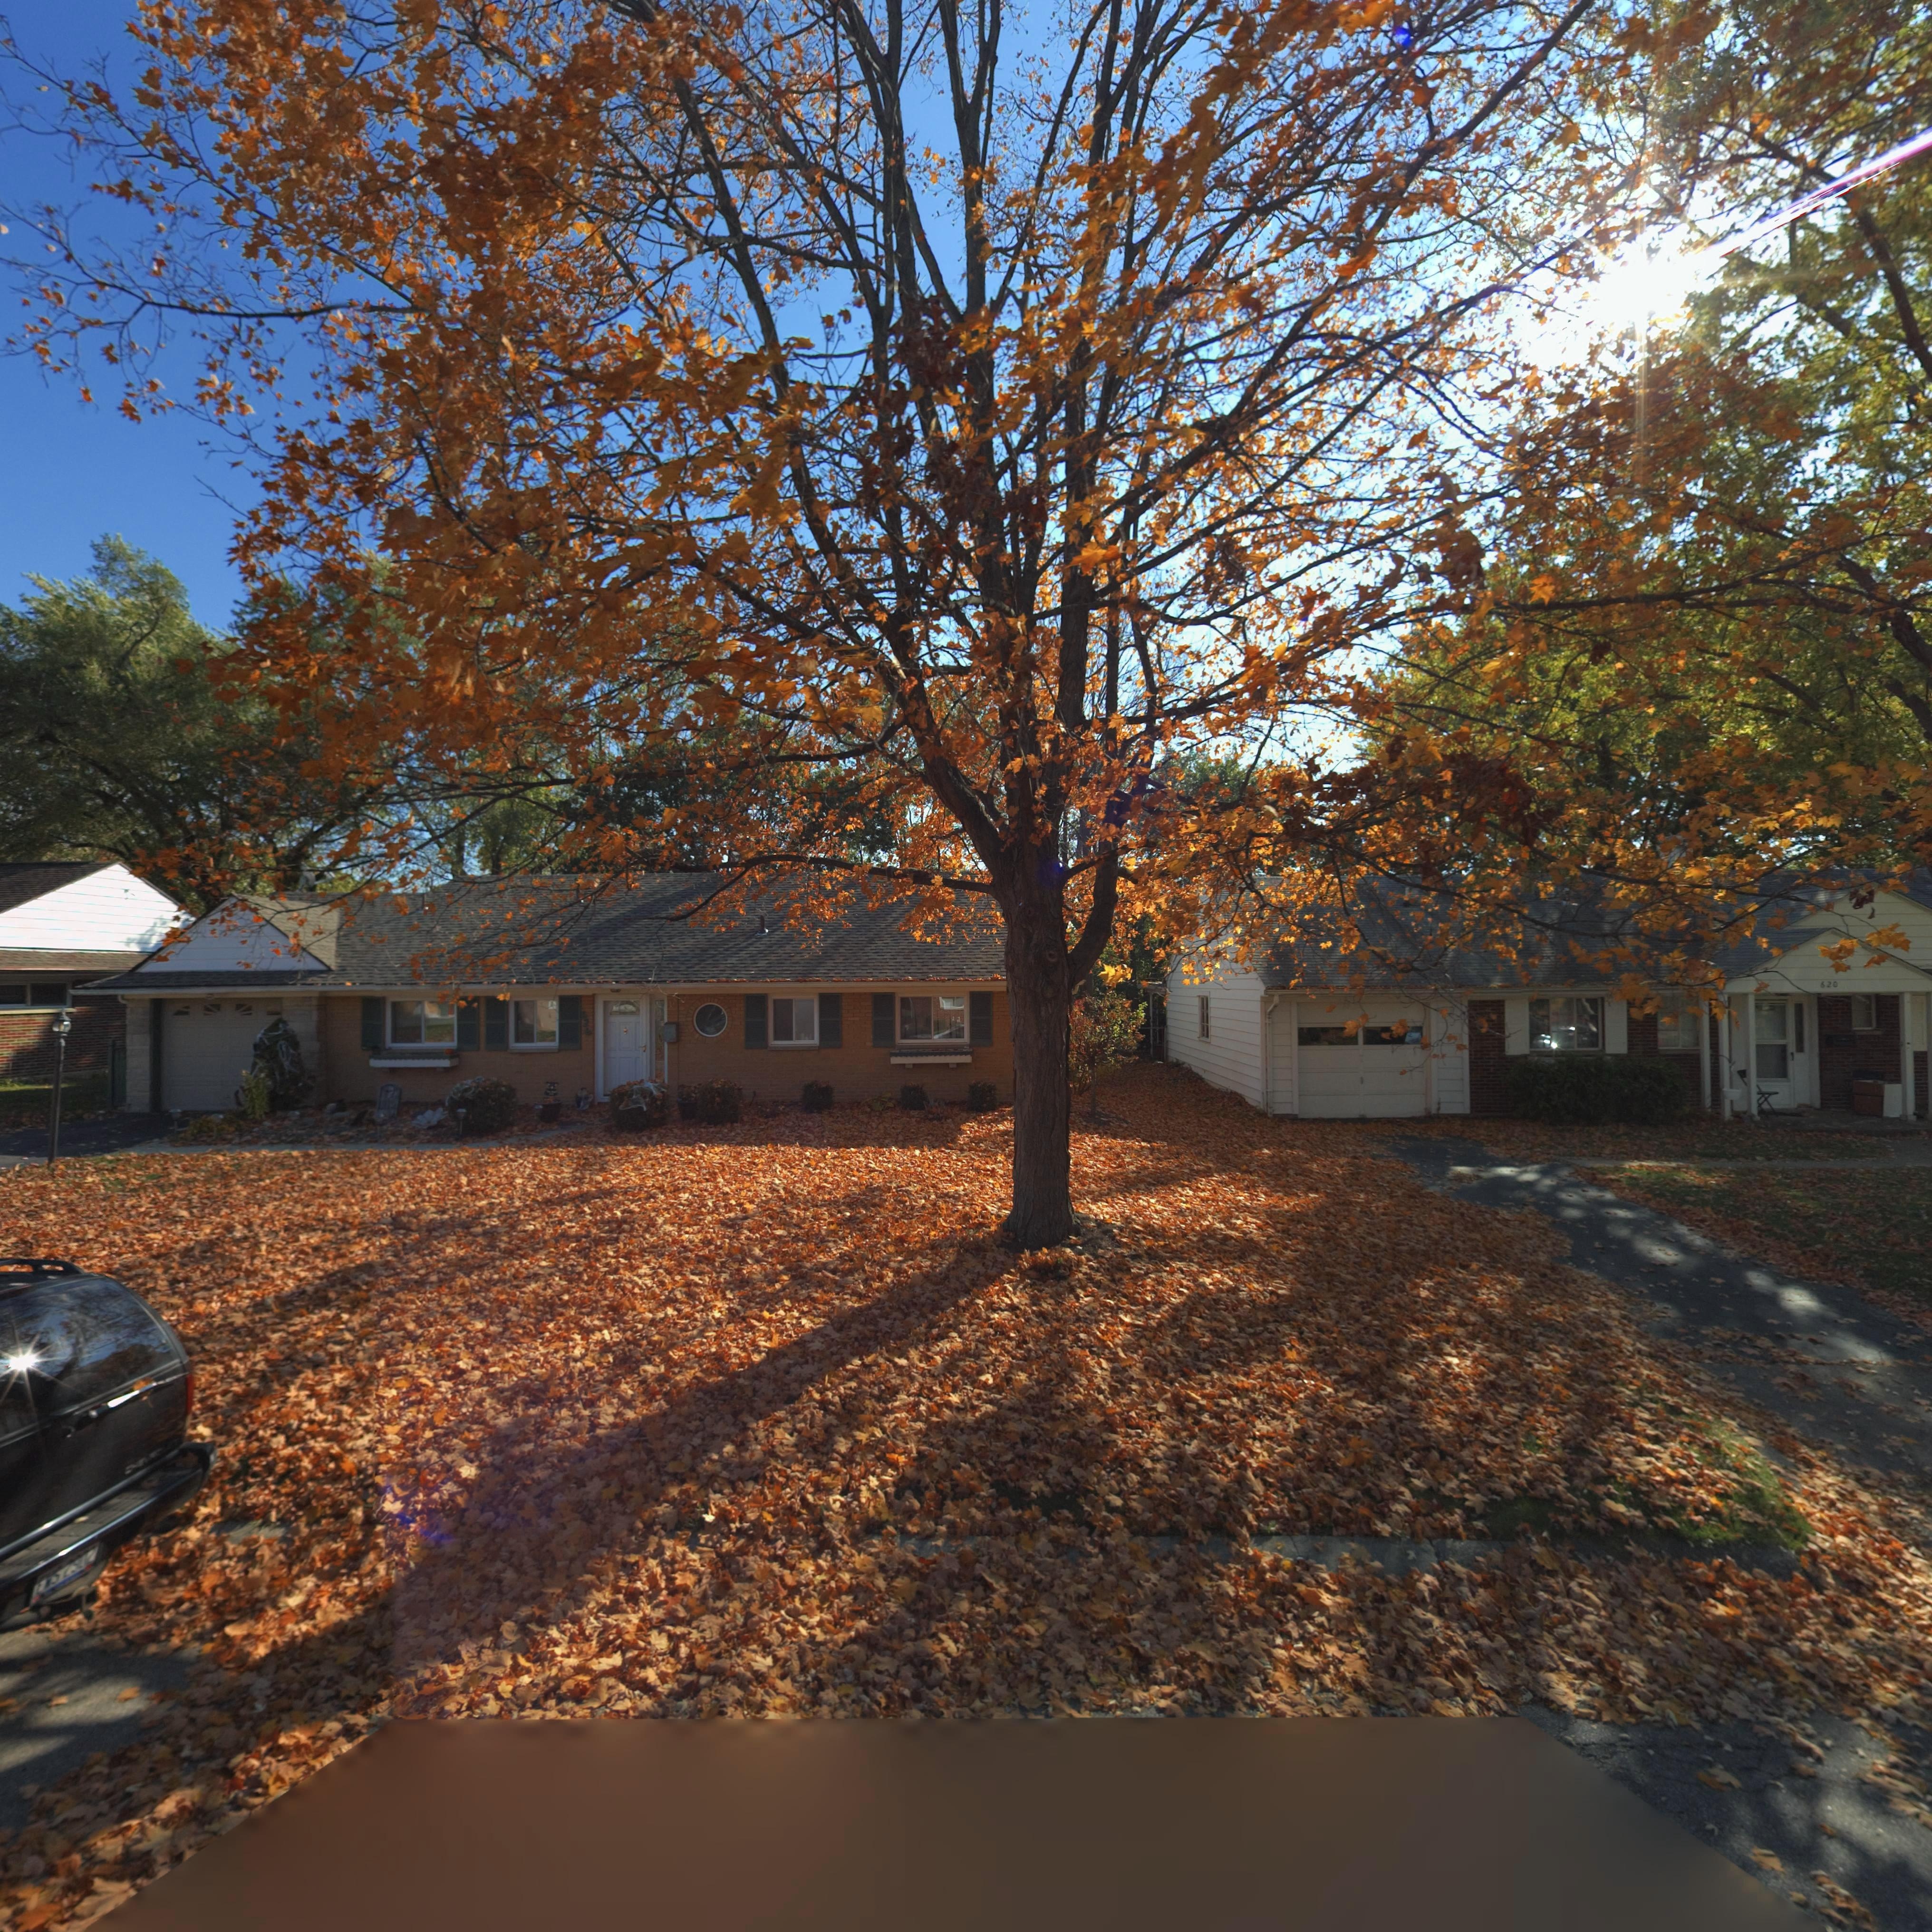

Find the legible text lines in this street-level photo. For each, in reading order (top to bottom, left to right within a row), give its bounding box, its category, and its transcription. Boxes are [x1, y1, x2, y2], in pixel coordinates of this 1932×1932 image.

[1819, 980, 1839, 988] StreetNumber: 620
[581, 1010, 592, 1036] StreetNumber: 626